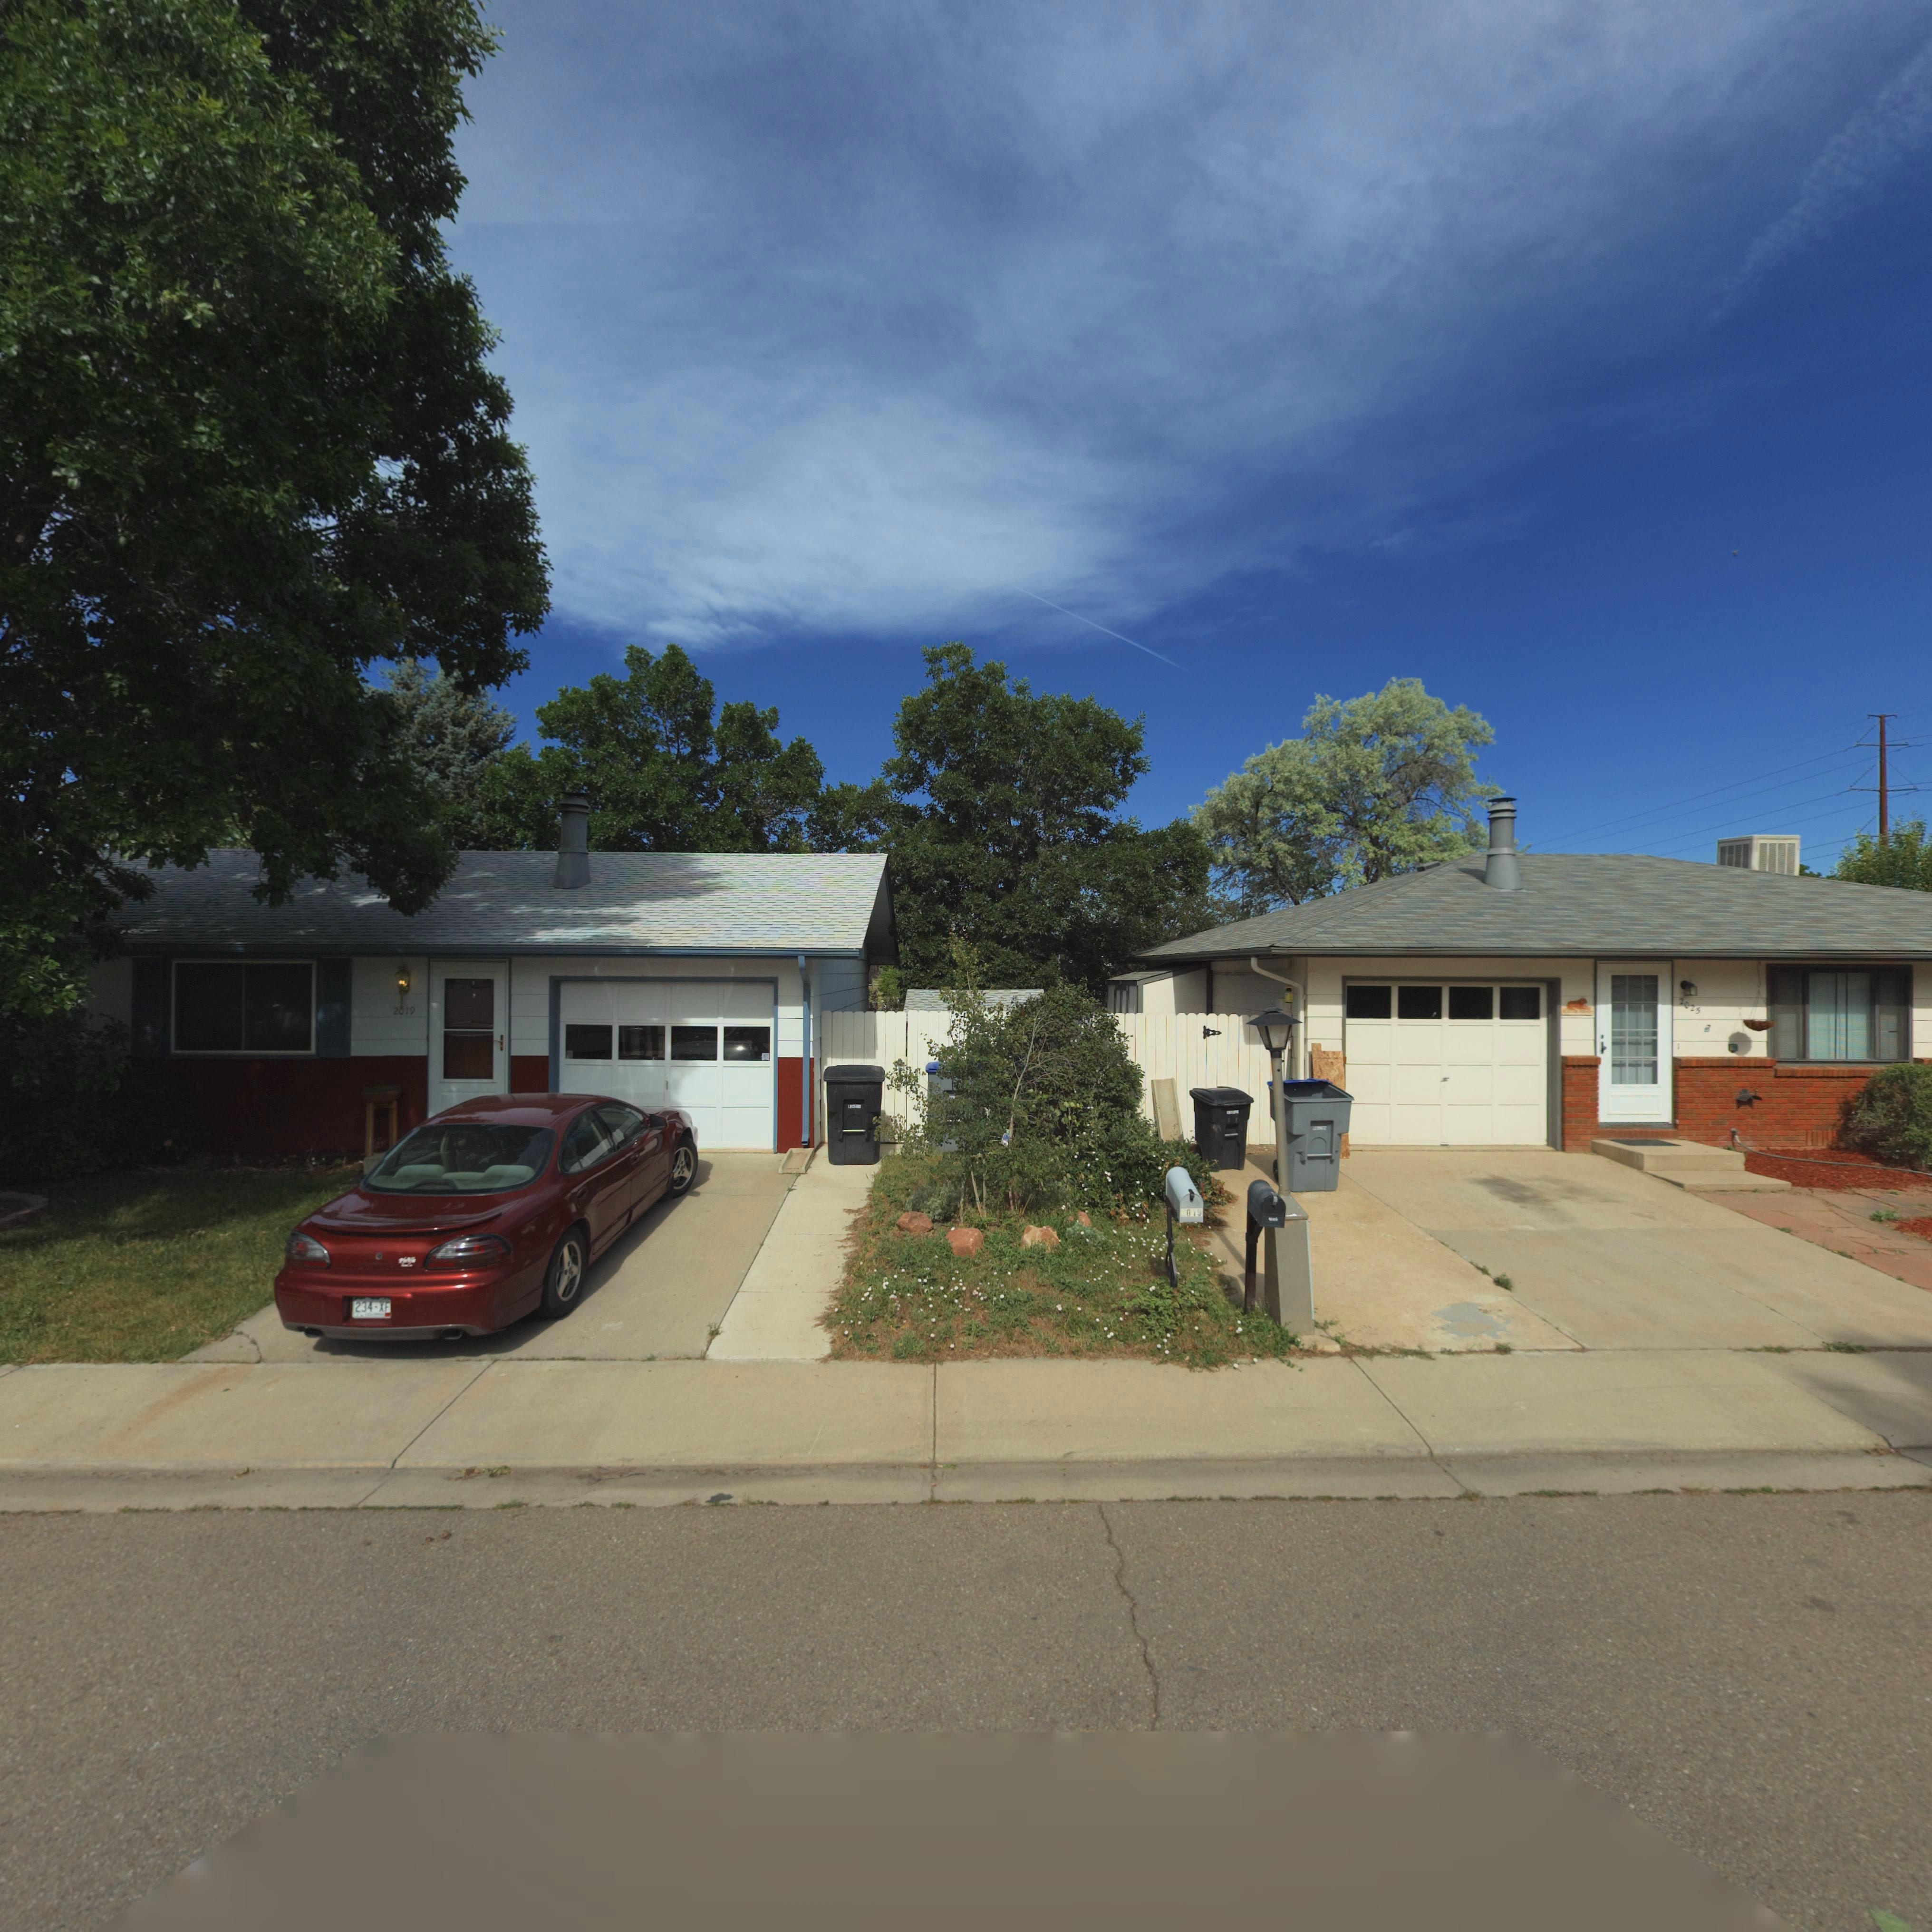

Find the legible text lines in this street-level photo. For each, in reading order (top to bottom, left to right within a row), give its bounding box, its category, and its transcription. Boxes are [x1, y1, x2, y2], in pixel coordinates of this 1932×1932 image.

[1679, 997, 1700, 1014] StreetNumber: 2025
[392, 1006, 415, 1015] StreetNumber: 2*19
[1180, 1208, 1203, 1217] BusinessName: *019